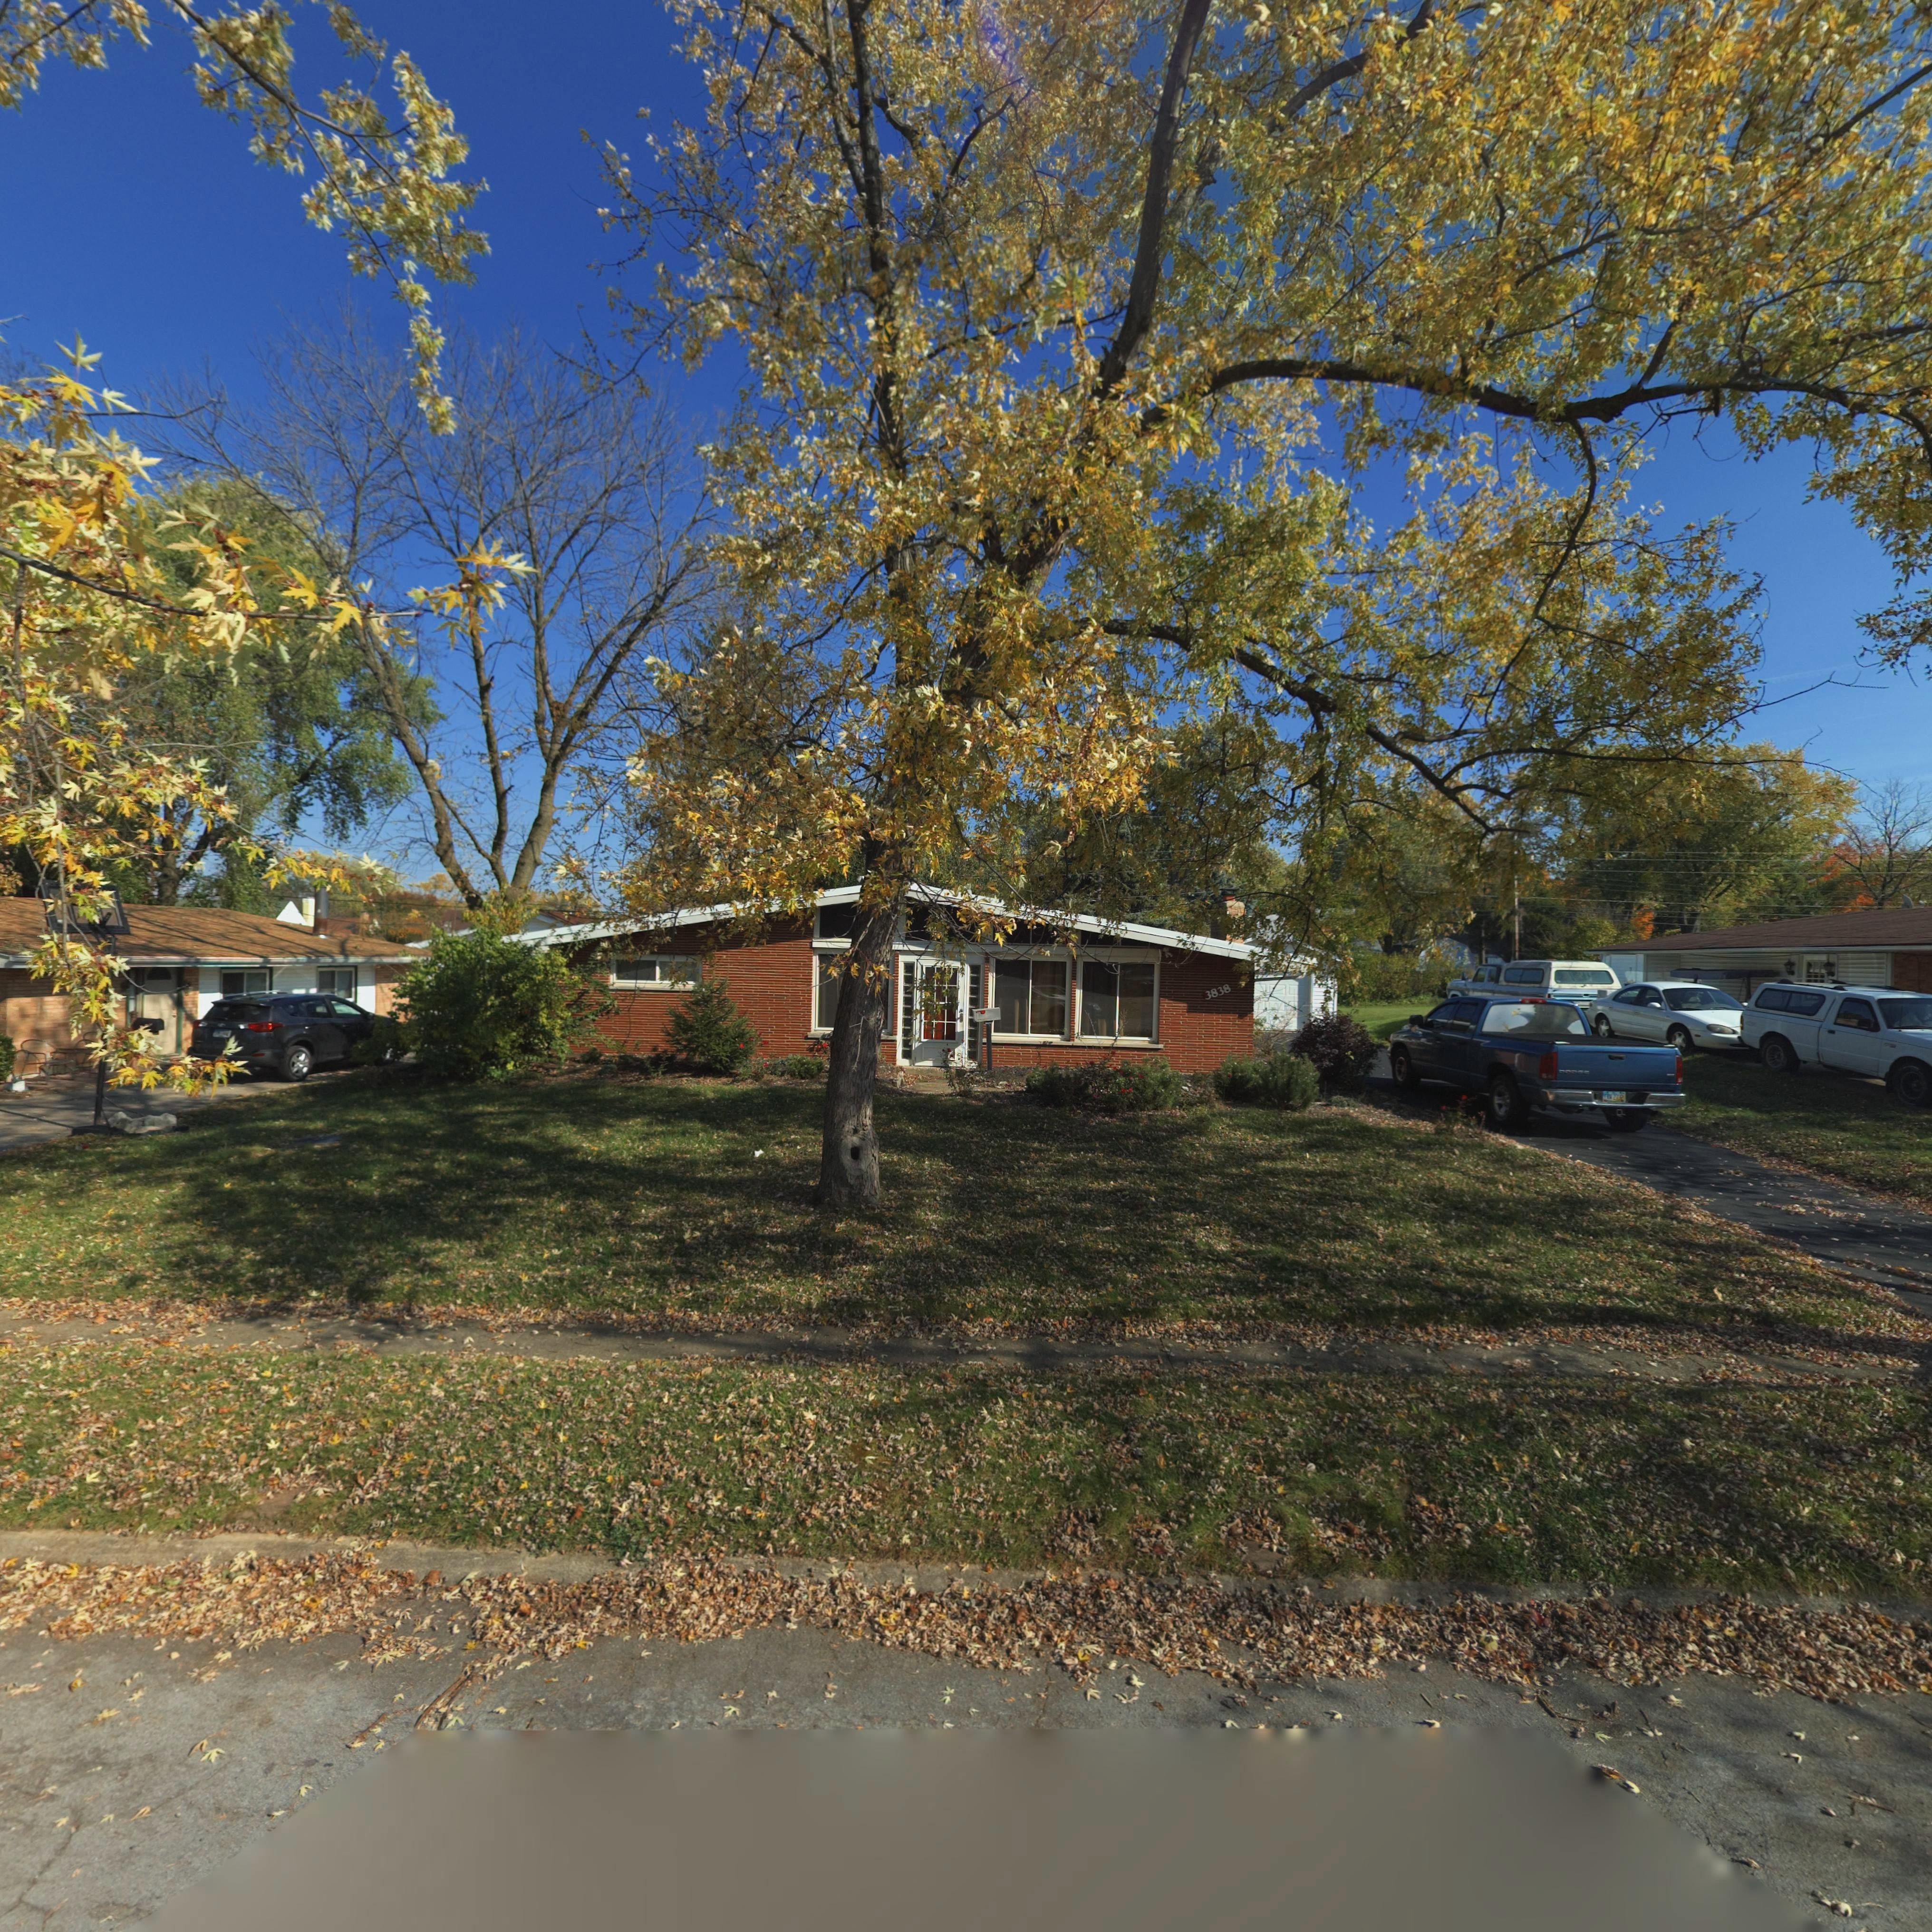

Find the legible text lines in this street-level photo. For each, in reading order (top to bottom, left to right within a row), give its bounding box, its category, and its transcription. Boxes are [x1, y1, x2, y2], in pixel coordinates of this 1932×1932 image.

[1204, 983, 1232, 1001] StreetNumber: 3838
[1558, 1069, 1590, 1075] None: DODG*
[1604, 1093, 1623, 1101] None: E***2732